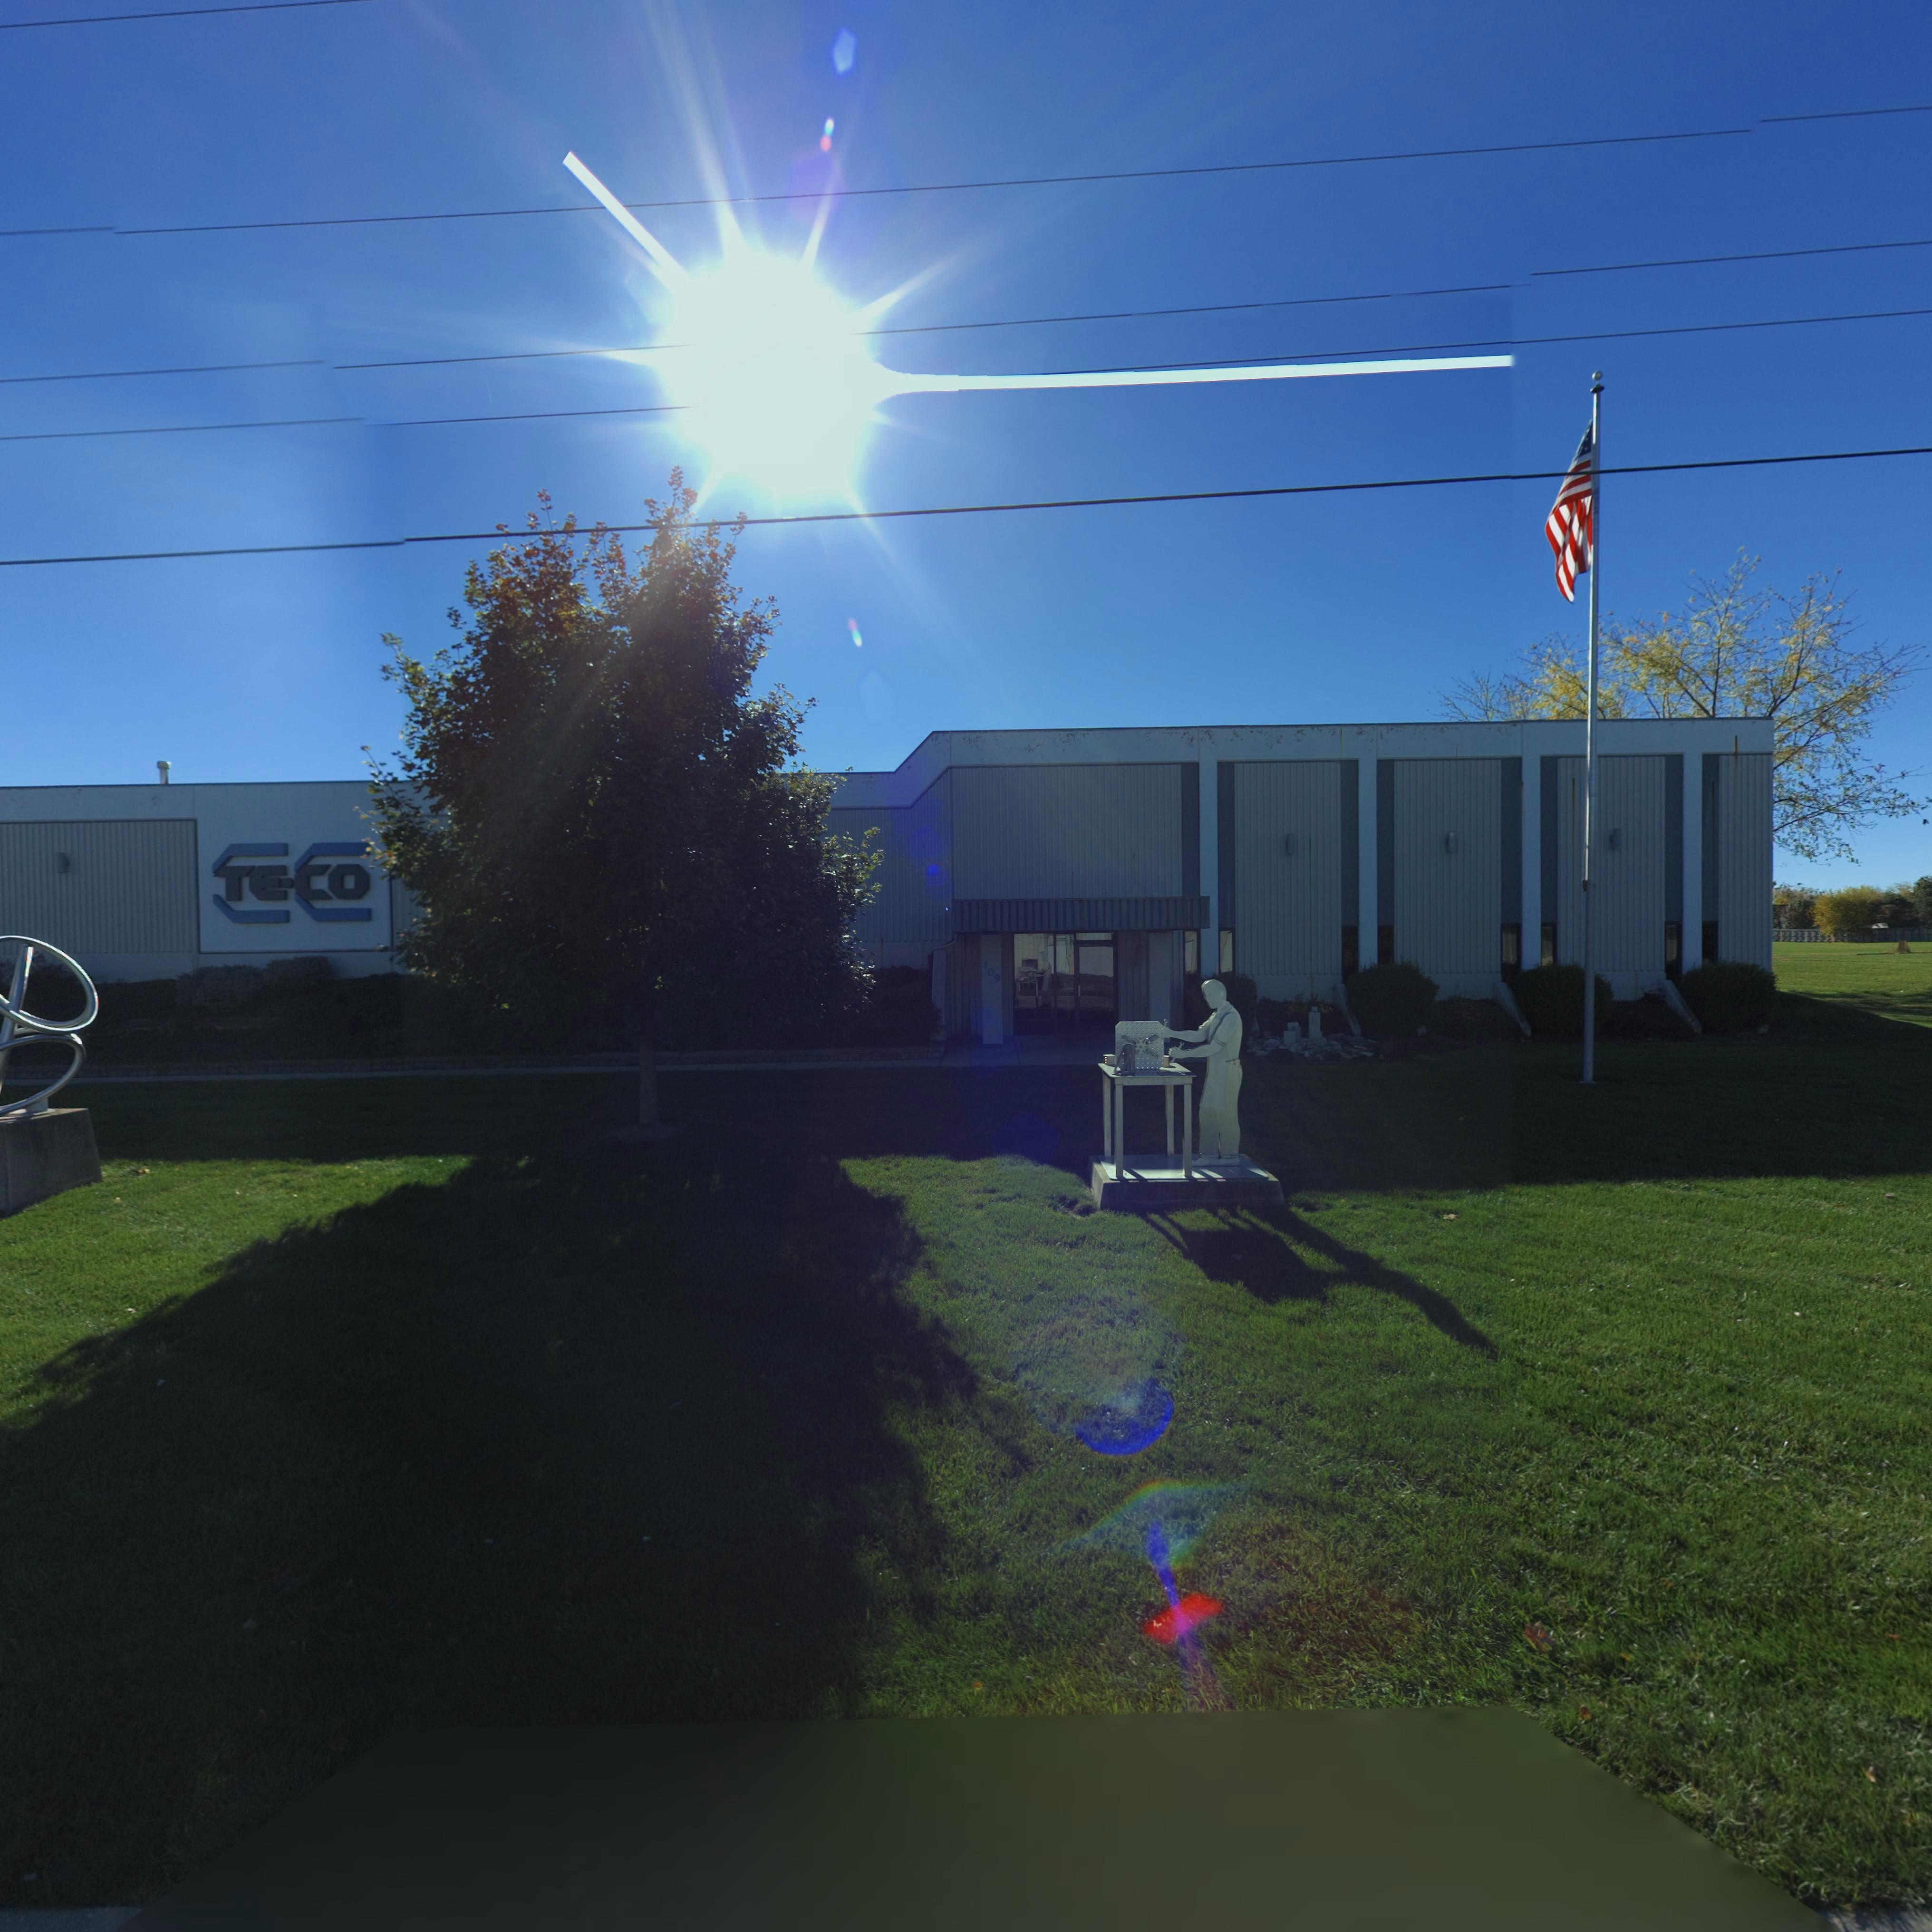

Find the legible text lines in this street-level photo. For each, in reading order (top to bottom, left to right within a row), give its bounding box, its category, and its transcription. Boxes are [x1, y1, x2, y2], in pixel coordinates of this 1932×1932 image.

[983, 960, 1002, 983] StreetNumber: 109